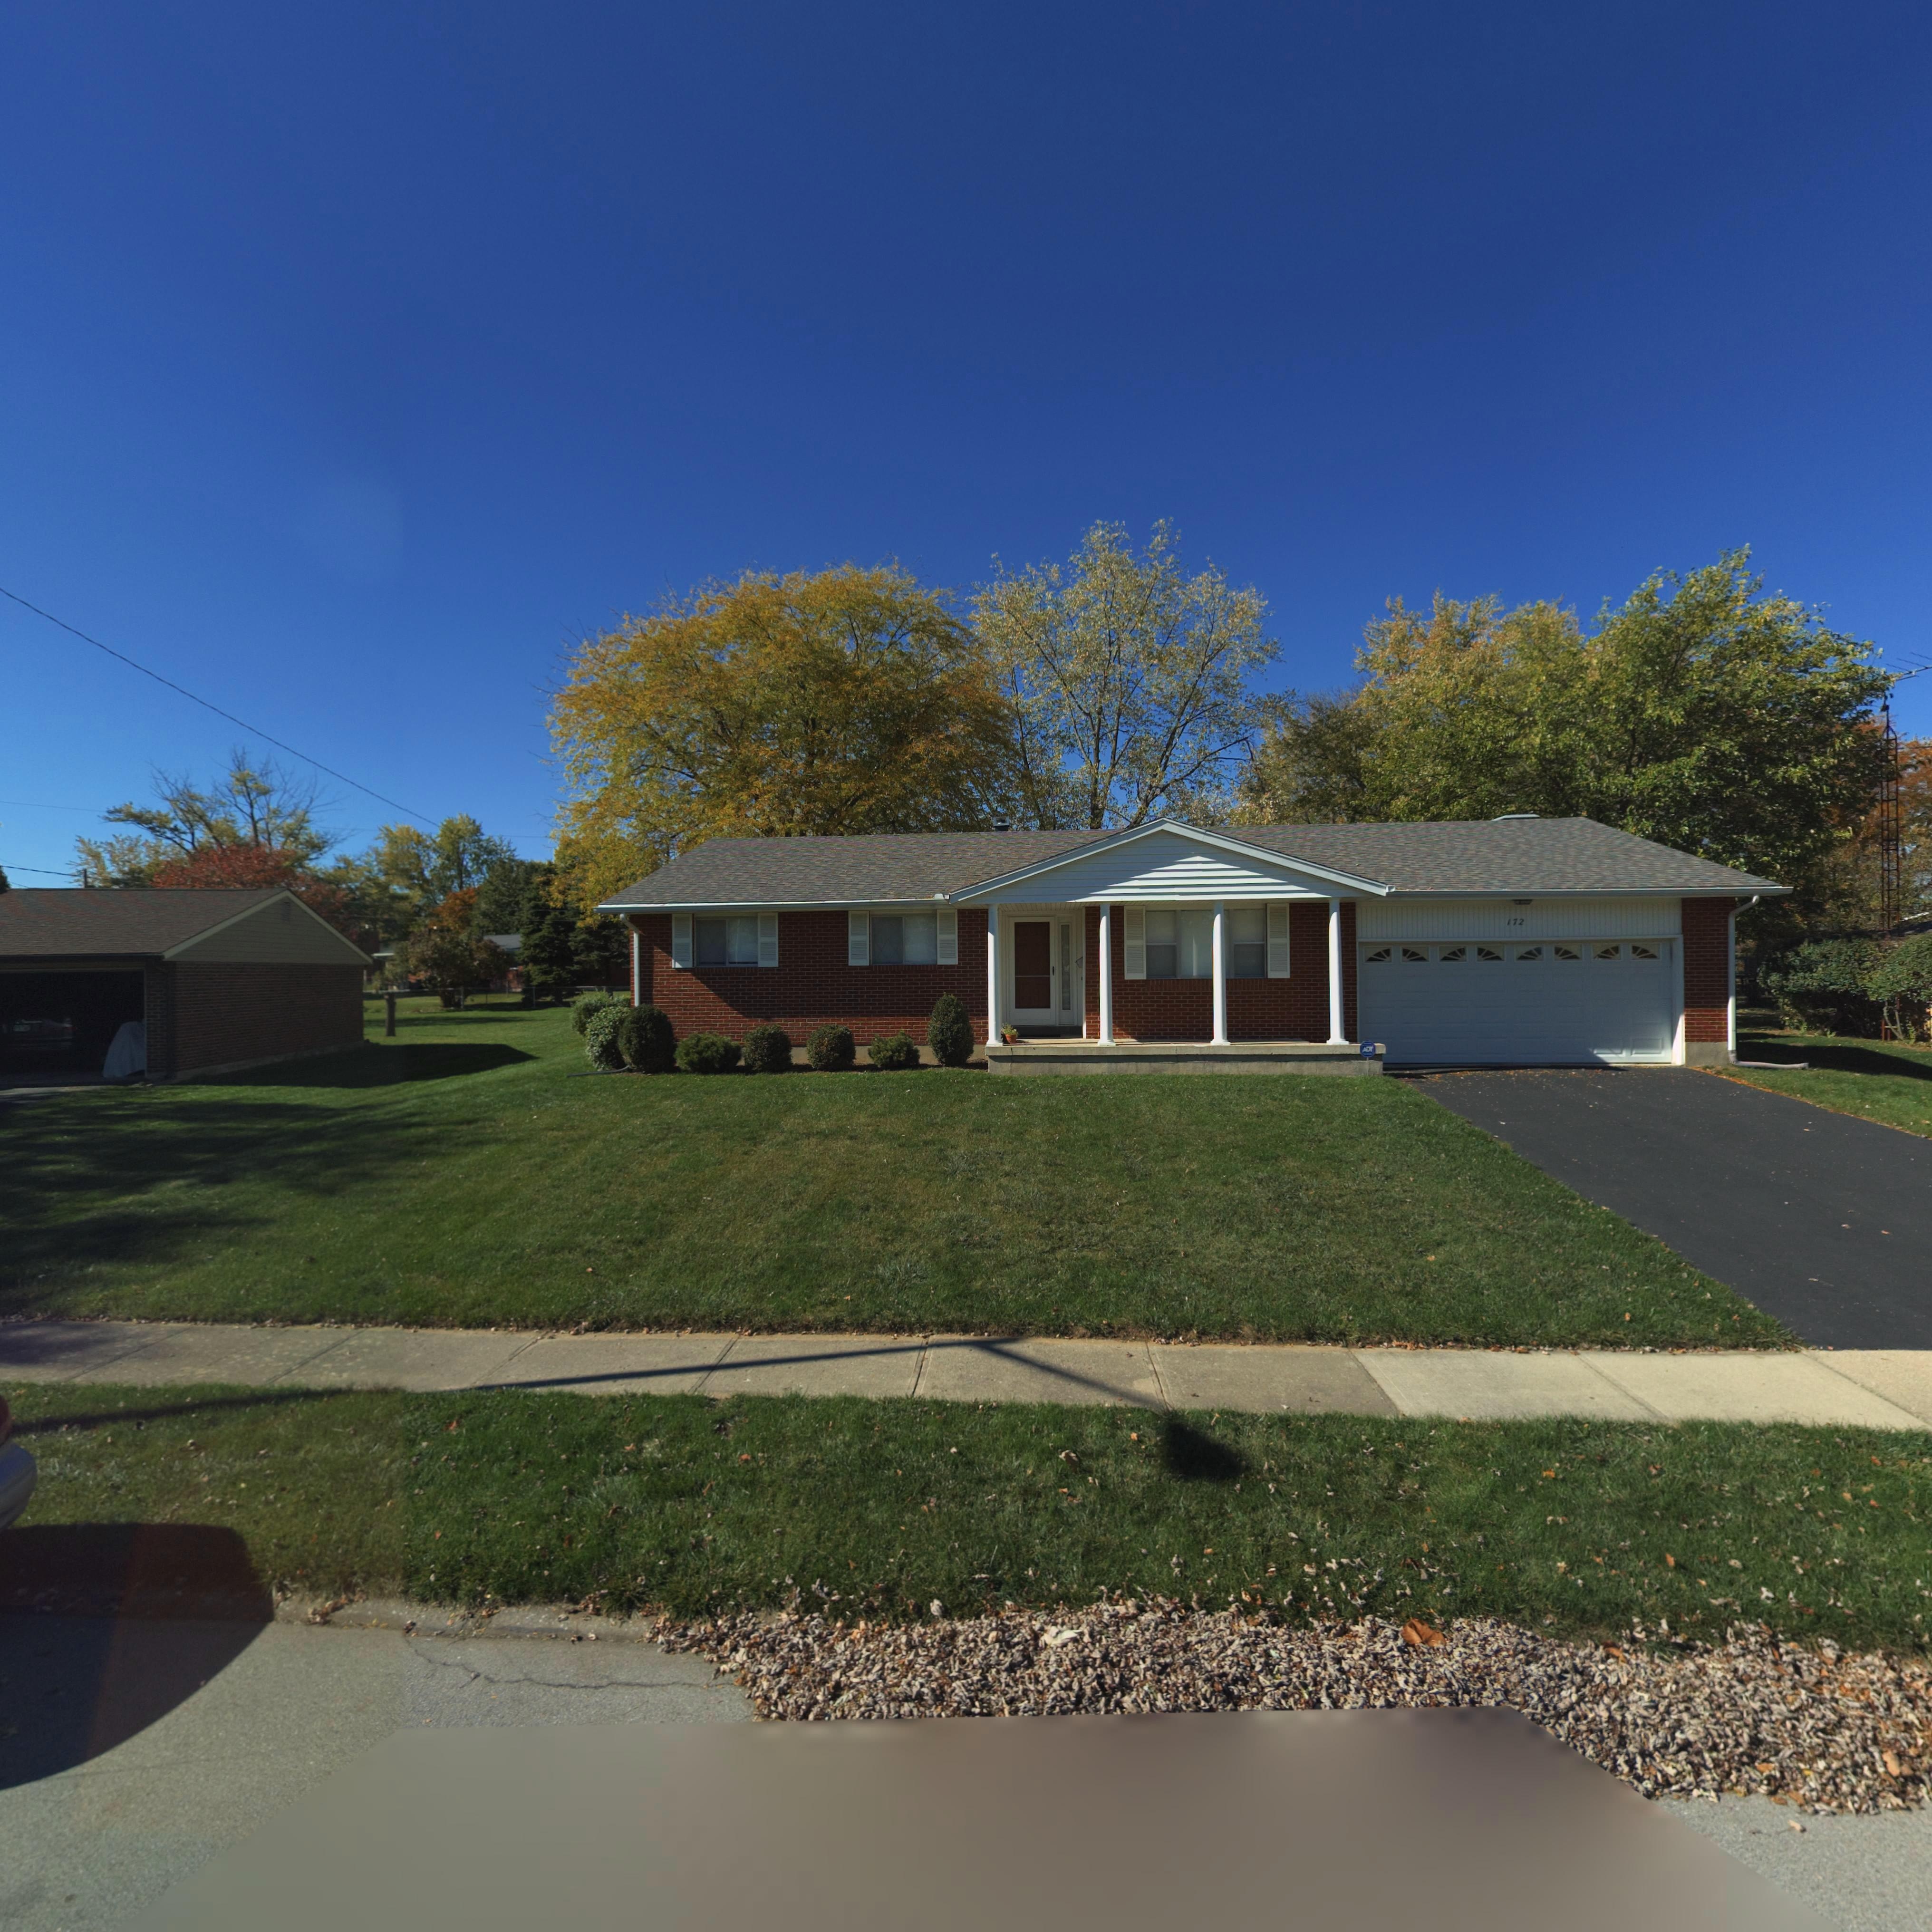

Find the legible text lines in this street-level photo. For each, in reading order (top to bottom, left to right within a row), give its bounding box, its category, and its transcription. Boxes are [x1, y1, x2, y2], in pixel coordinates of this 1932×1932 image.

[1506, 917, 1525, 927] StreetNumber: 172